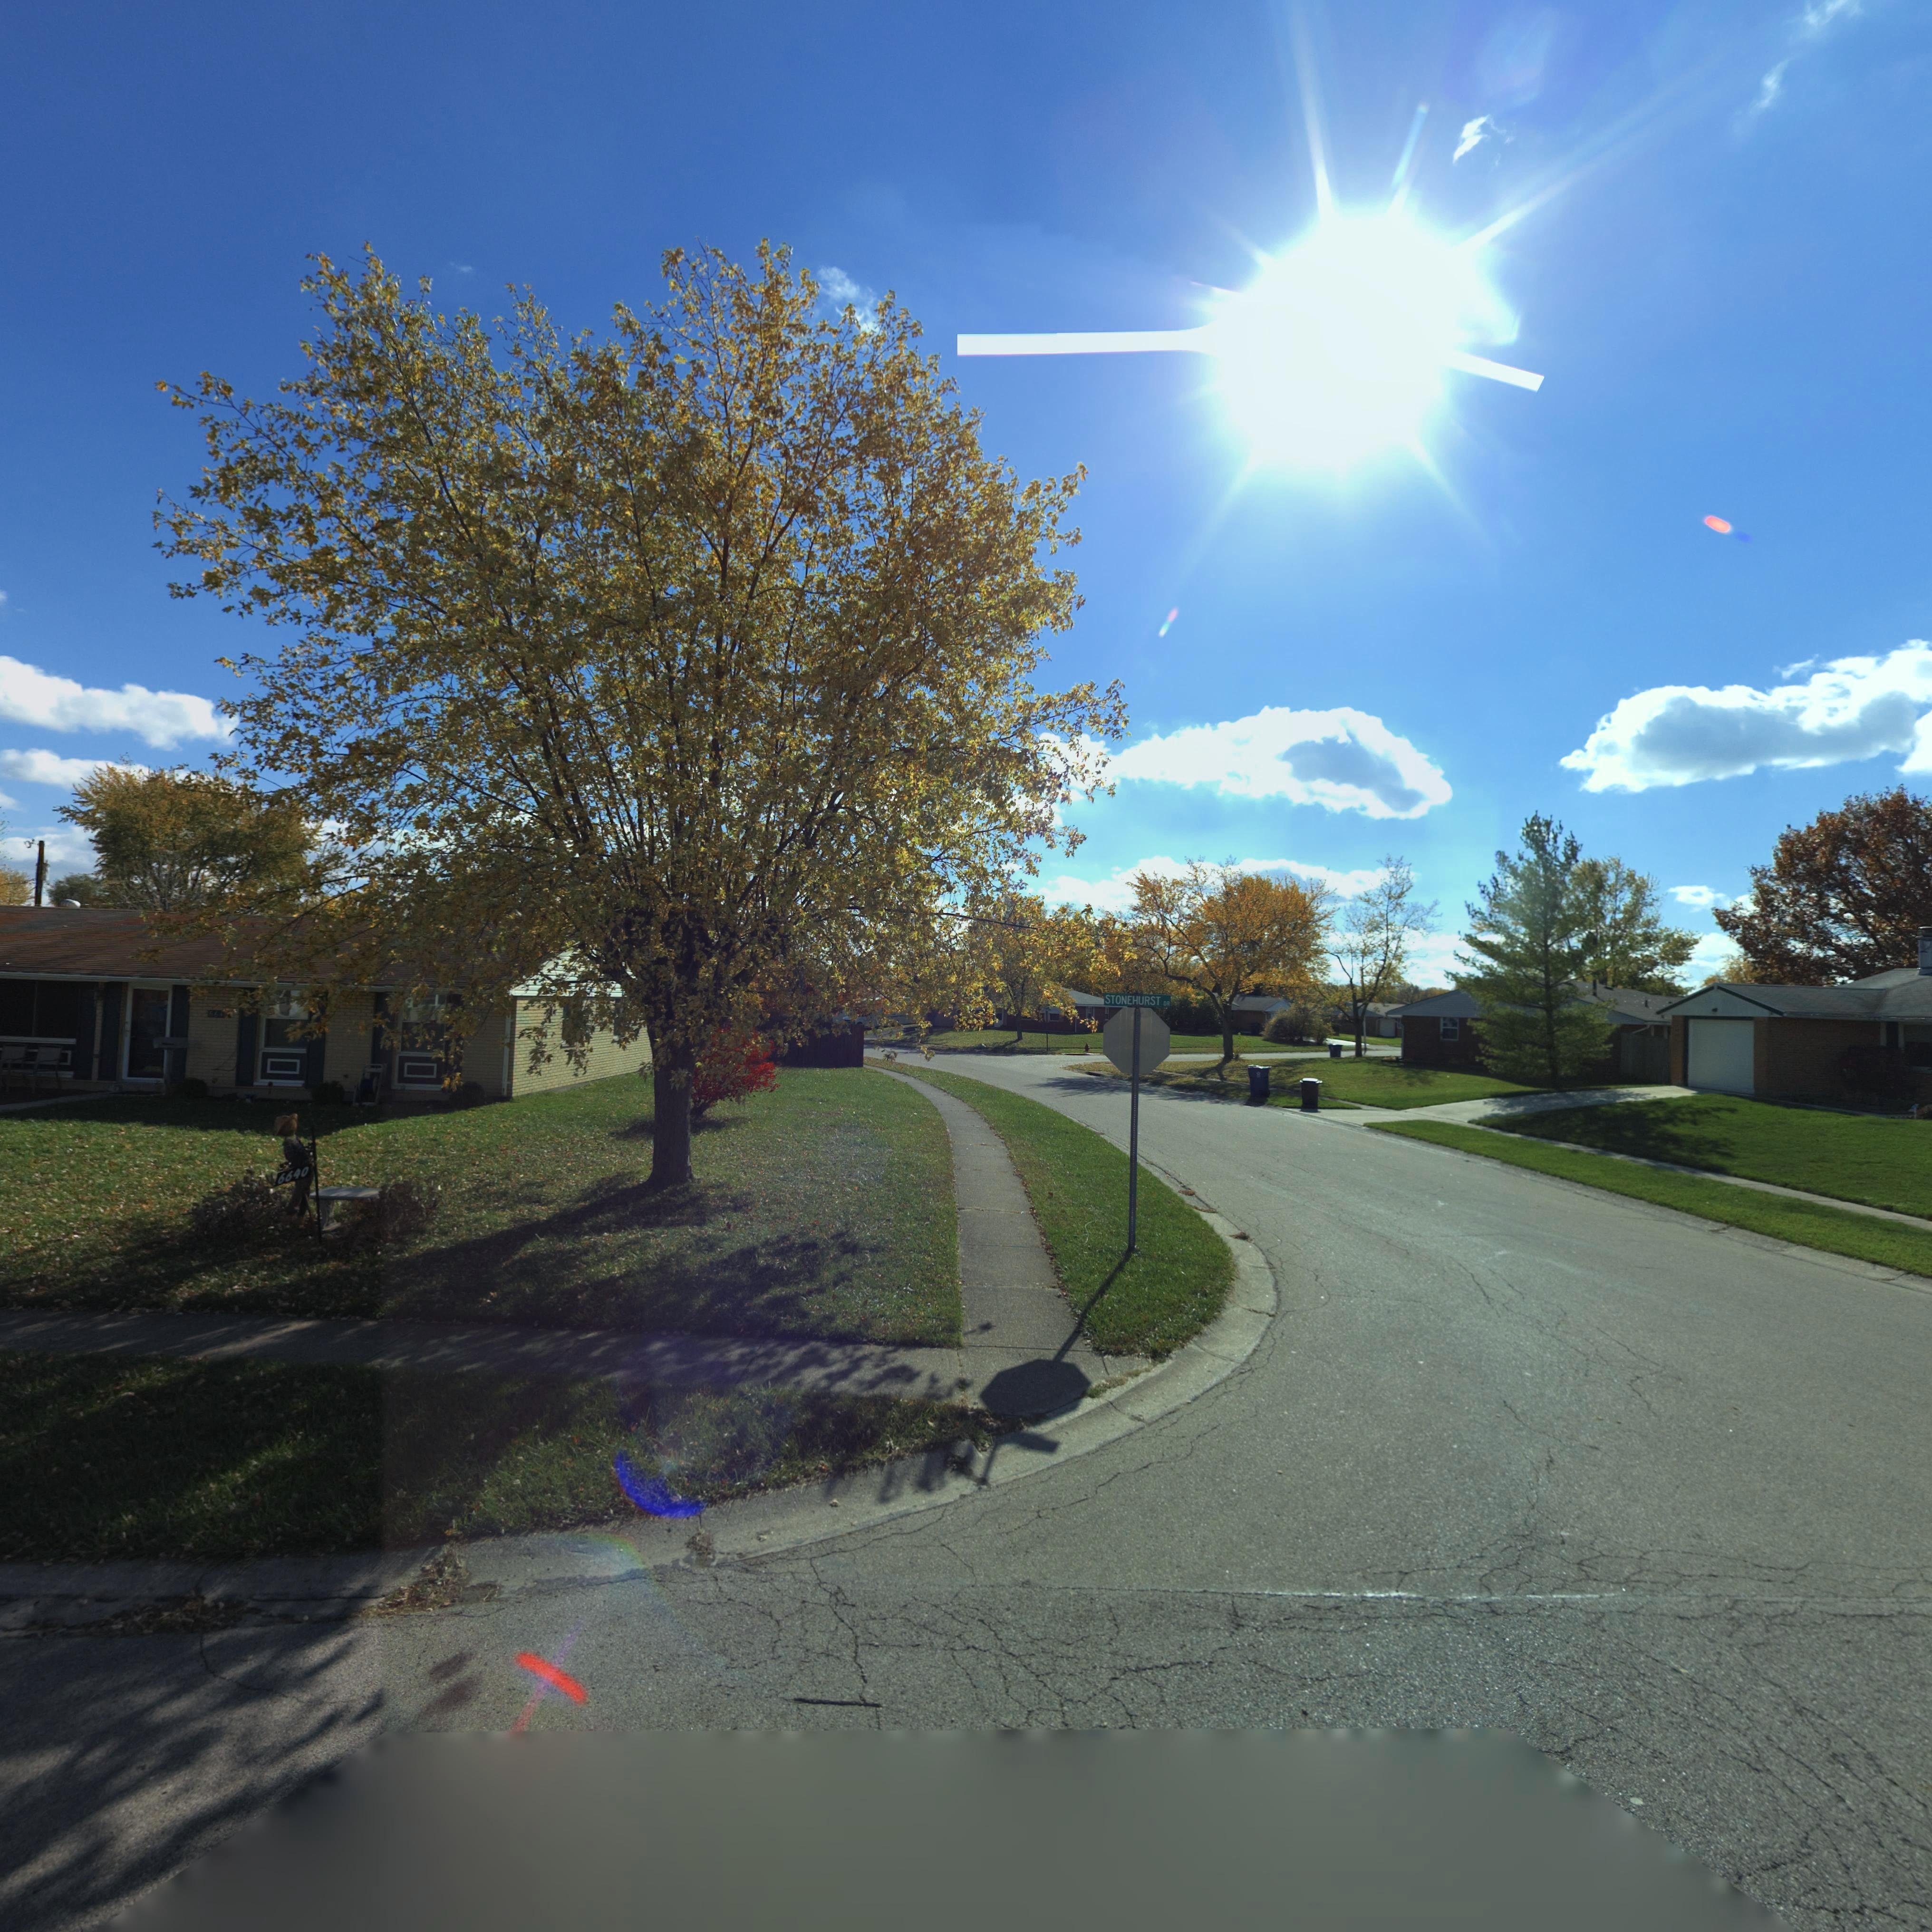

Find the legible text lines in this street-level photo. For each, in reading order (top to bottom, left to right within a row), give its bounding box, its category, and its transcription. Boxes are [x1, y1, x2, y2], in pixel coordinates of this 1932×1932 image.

[208, 1010, 223, 1018] StreetNumber: 664
[277, 1166, 309, 1185] StreetNumber: 6640